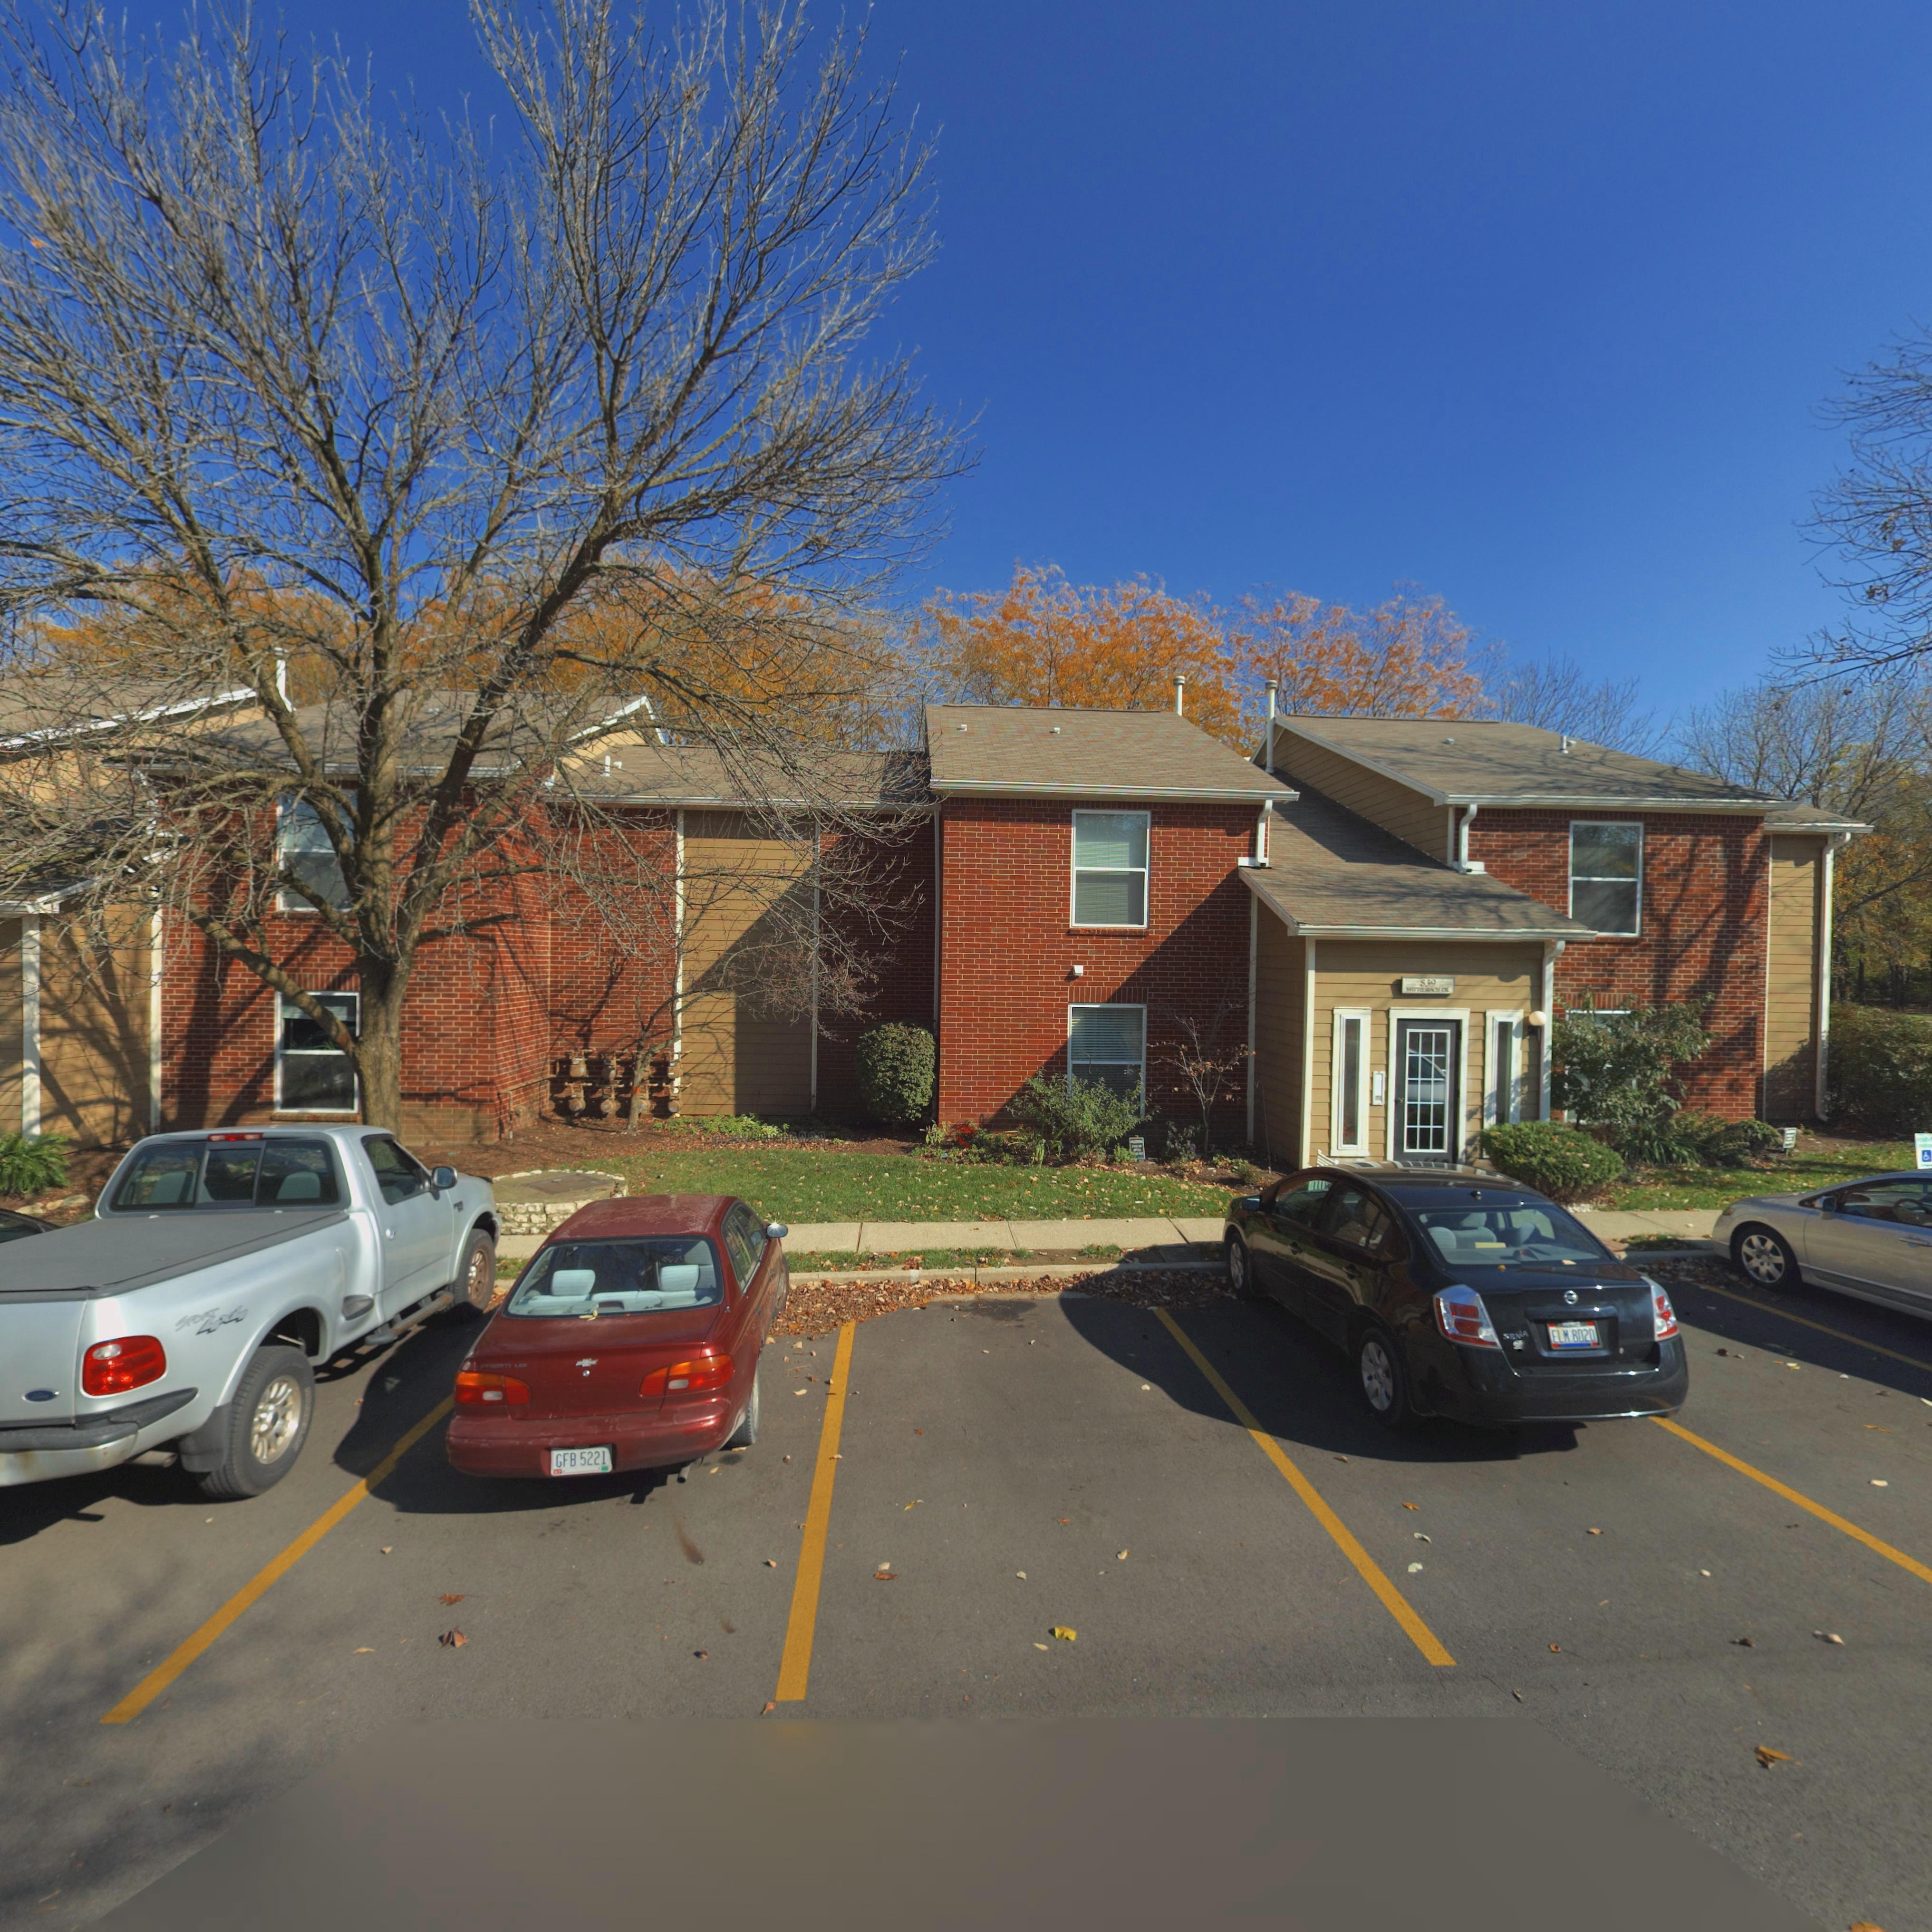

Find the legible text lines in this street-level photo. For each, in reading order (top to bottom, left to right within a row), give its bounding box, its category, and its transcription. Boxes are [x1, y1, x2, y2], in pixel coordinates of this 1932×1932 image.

[1417, 977, 1438, 988] StreetNumber: 839
[193, 1302, 251, 1339] None: 4x4
[1503, 1332, 1522, 1340] None: SEN
[1549, 1326, 1600, 1345] None: ELM 8020
[554, 1448, 608, 1469] None: GFB 5221